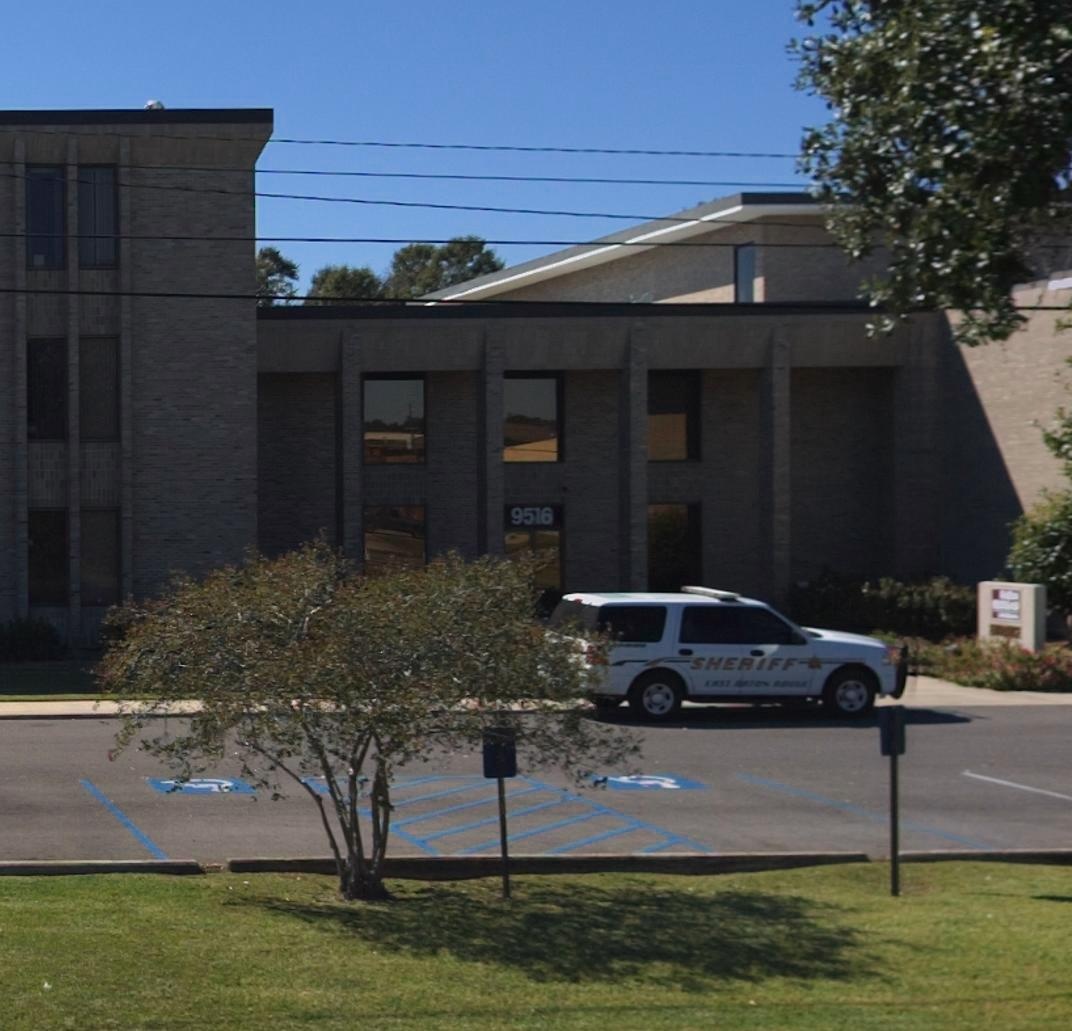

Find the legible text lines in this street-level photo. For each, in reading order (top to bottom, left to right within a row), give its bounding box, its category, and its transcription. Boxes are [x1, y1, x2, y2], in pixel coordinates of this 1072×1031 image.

[508, 504, 557, 528] StreetNumber: 9516
[687, 653, 802, 674] None: SHERIFF
[702, 678, 734, 690] None: LAST